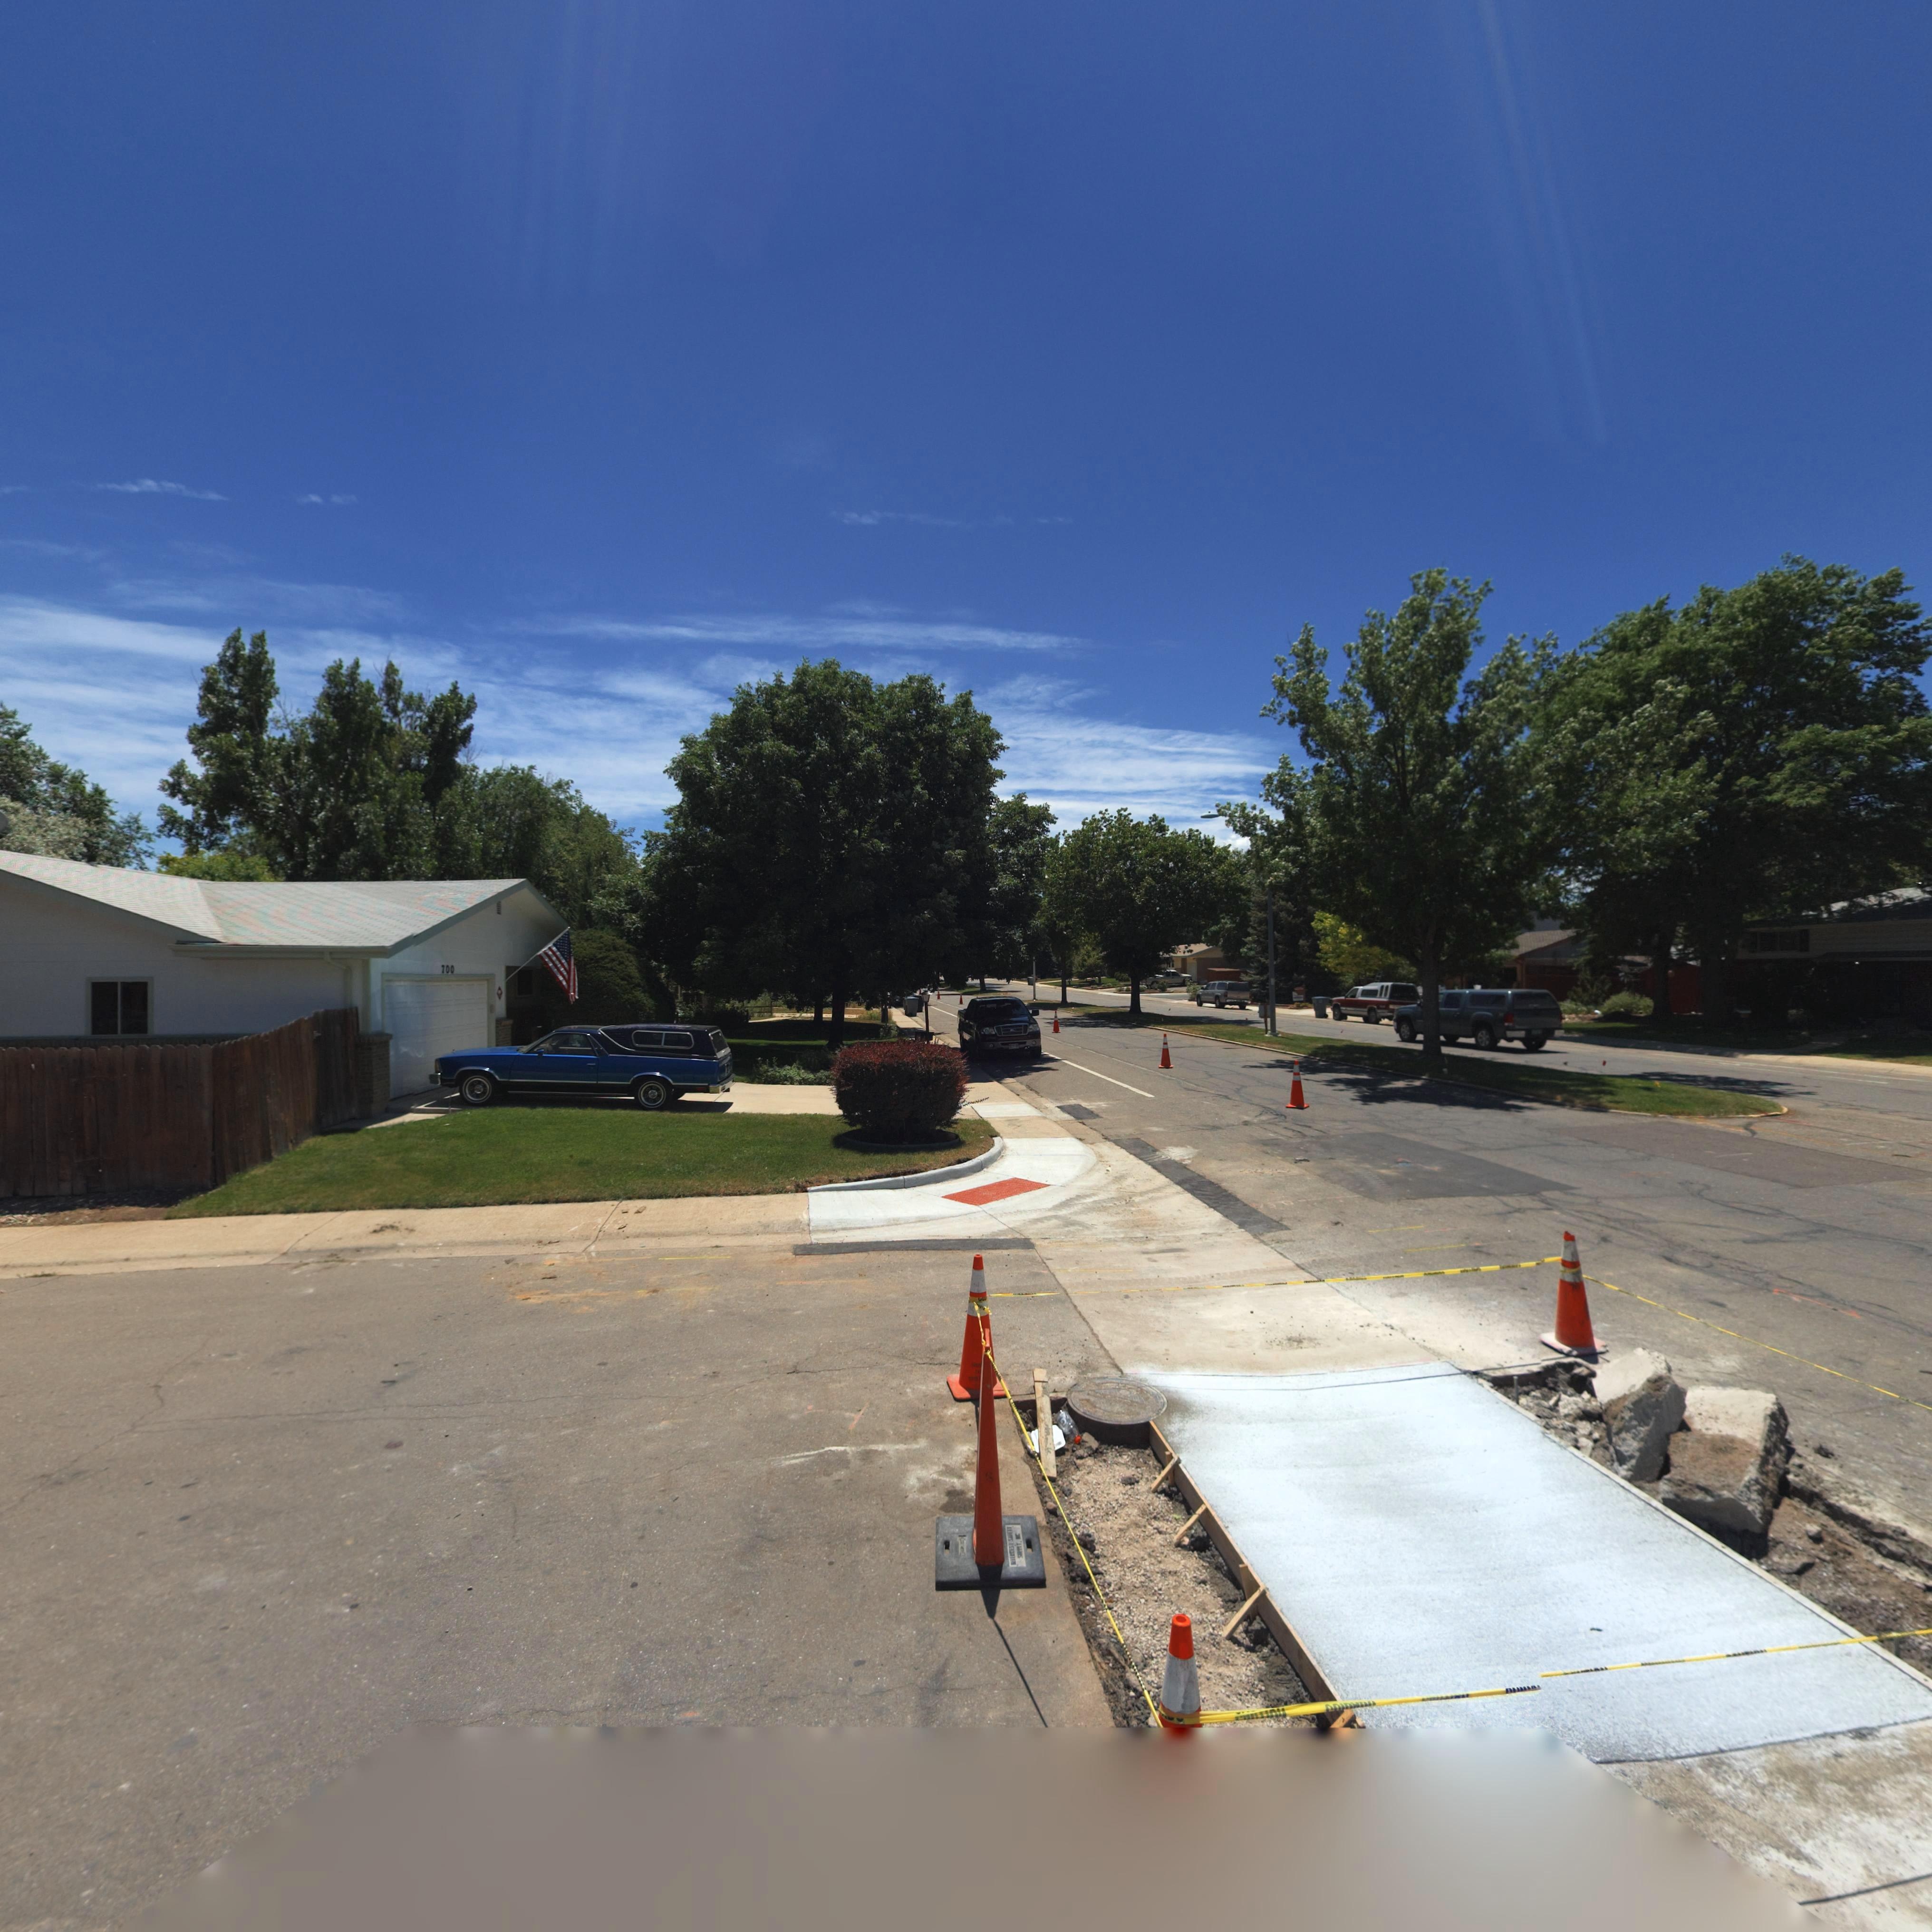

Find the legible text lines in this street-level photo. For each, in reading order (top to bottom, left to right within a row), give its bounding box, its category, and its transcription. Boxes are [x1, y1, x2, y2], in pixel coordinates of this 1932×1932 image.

[441, 964, 454, 973] StreetNumber: 700